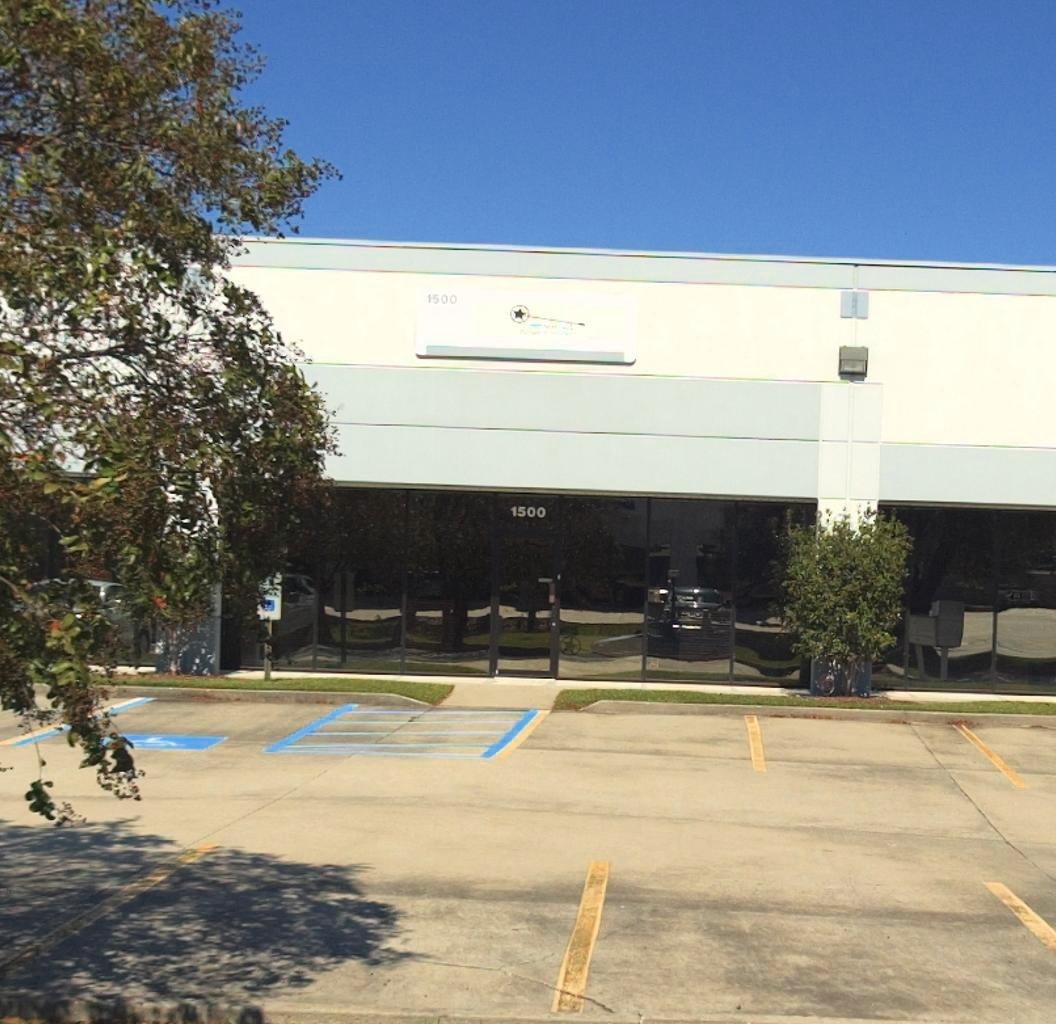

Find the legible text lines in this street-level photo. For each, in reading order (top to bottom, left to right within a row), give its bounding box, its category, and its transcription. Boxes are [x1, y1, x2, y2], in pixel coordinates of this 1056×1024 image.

[427, 292, 457, 304] StreetNumber: 1500
[509, 505, 548, 520] StreetNumber: 1500